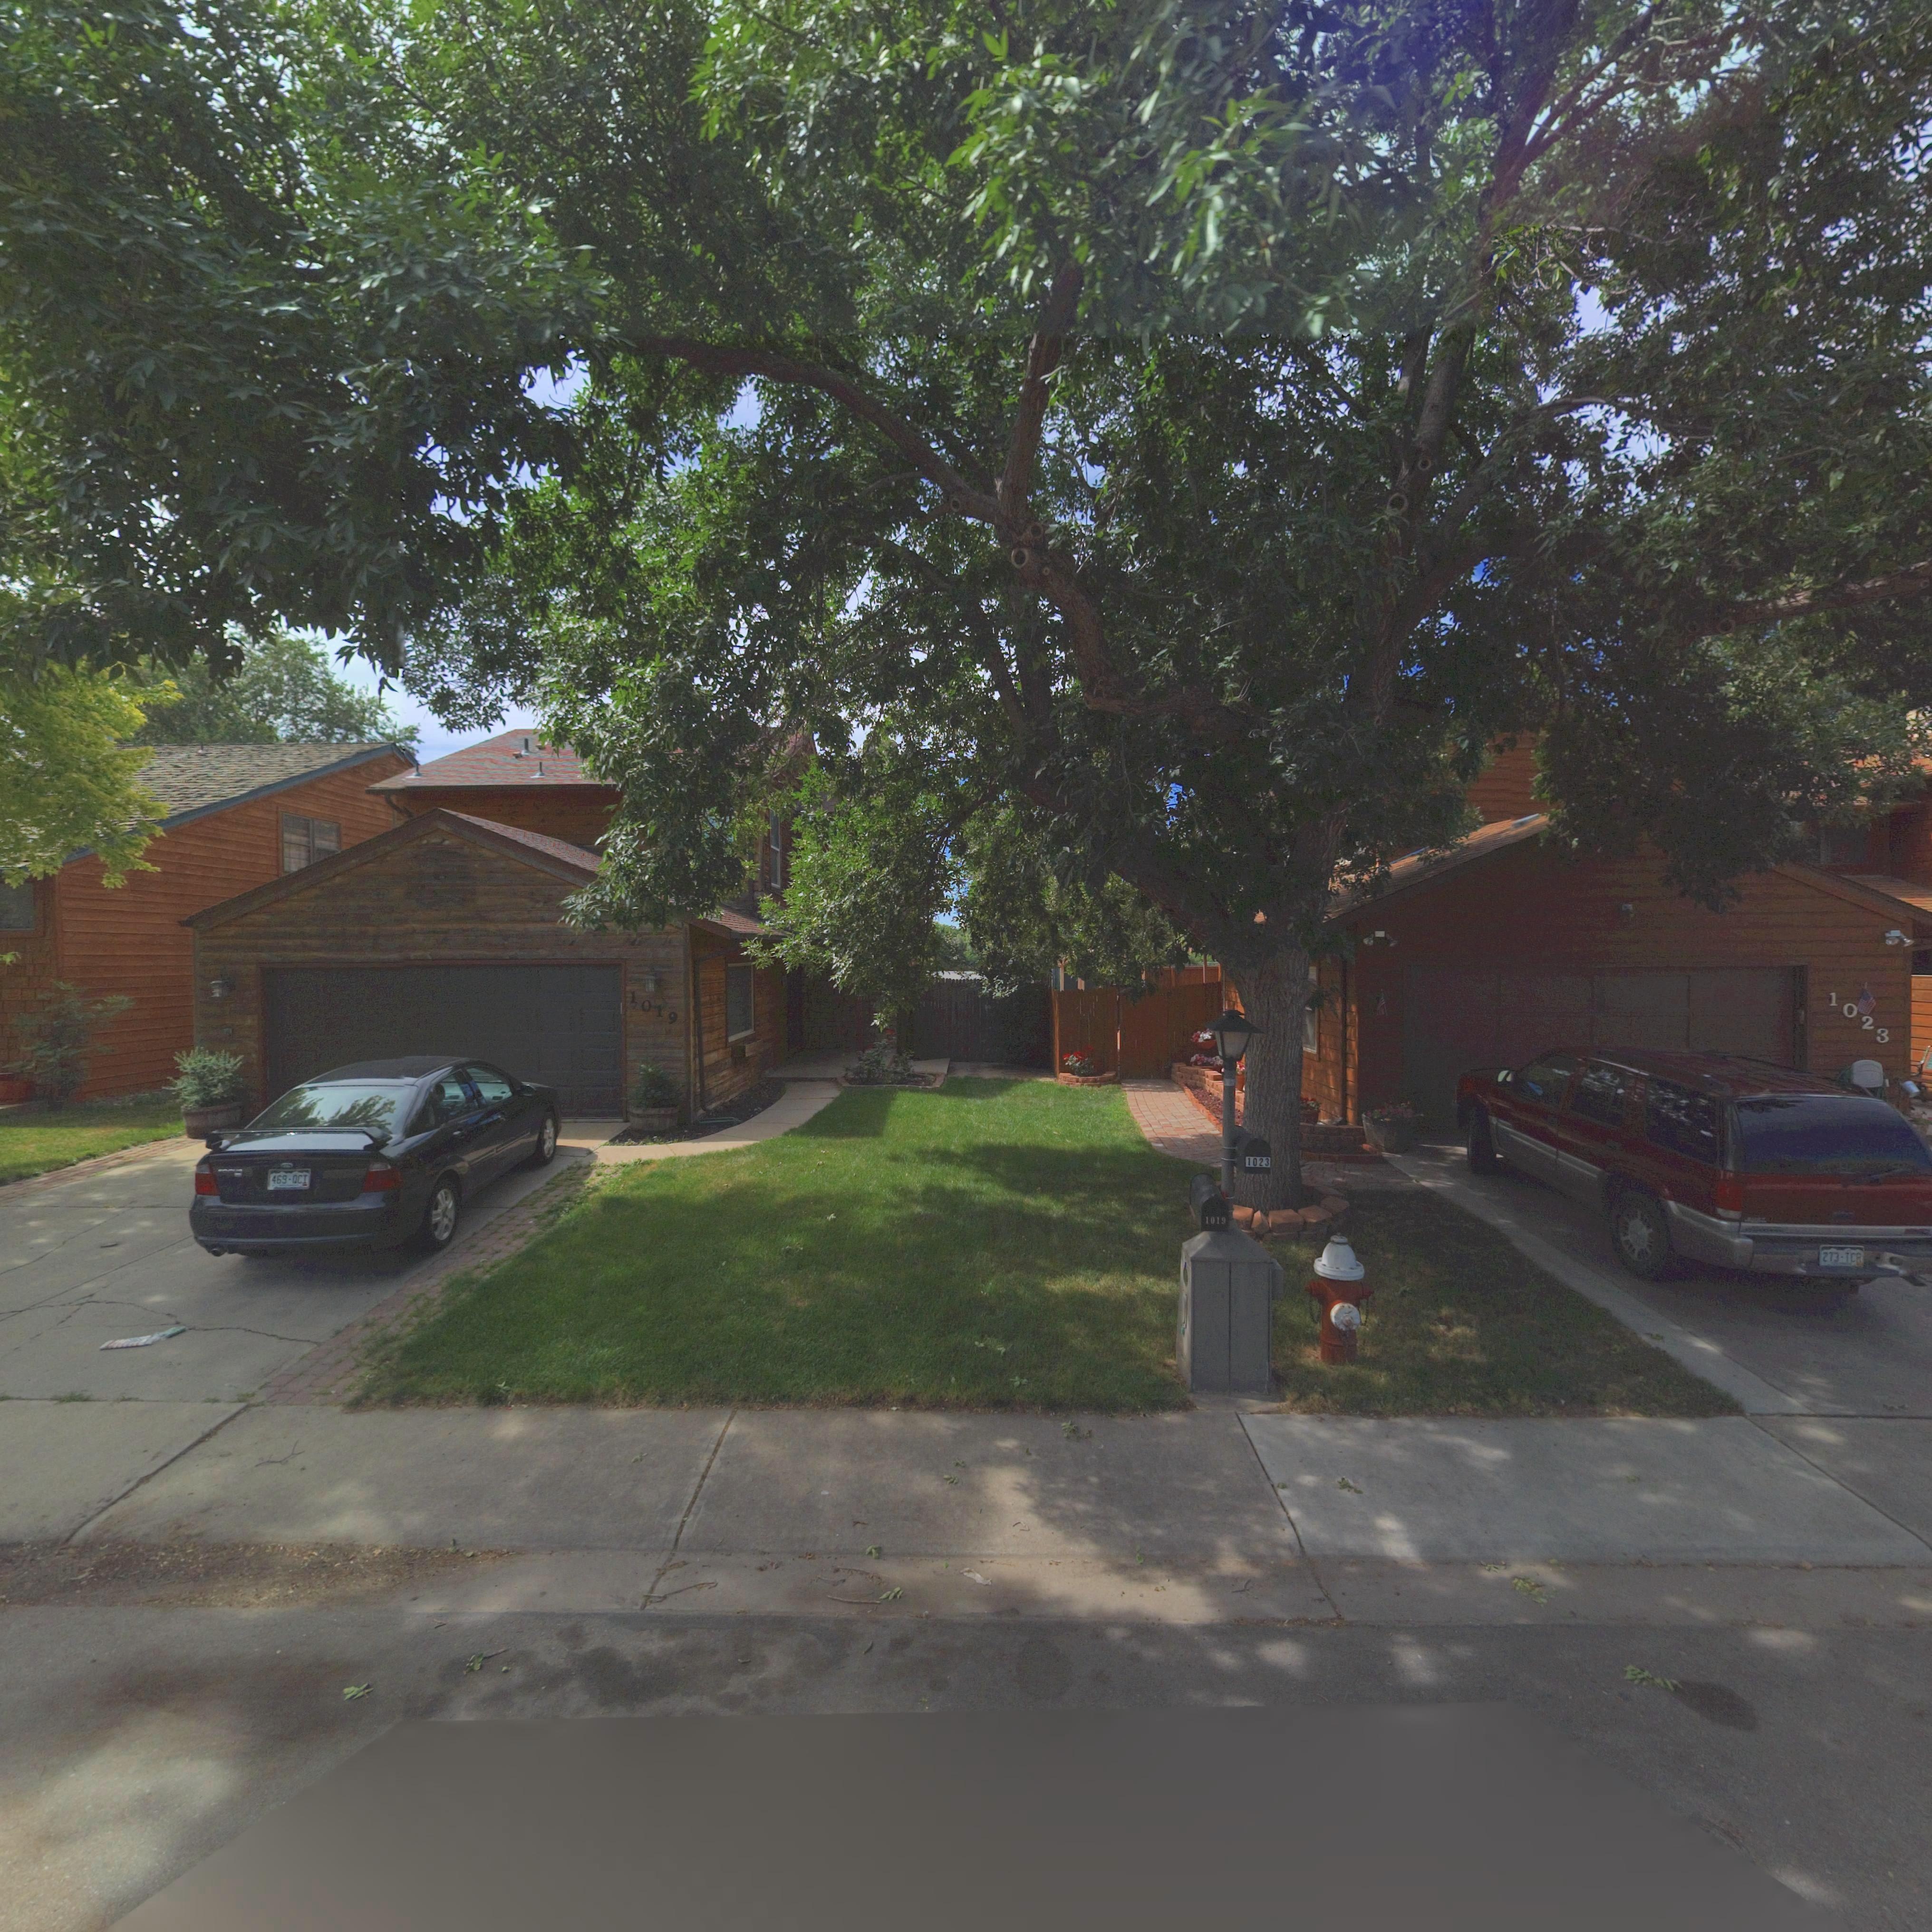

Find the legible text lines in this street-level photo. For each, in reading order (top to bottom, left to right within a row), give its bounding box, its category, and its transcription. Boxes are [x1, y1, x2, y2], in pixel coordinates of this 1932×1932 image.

[629, 990, 677, 1024] StreetNumber: 1019
[1828, 991, 1890, 1043] StreetNumber: 1023
[1247, 1157, 1269, 1166] StreetNumber: 1023
[1206, 1216, 1226, 1224] StreetNumber: 1019